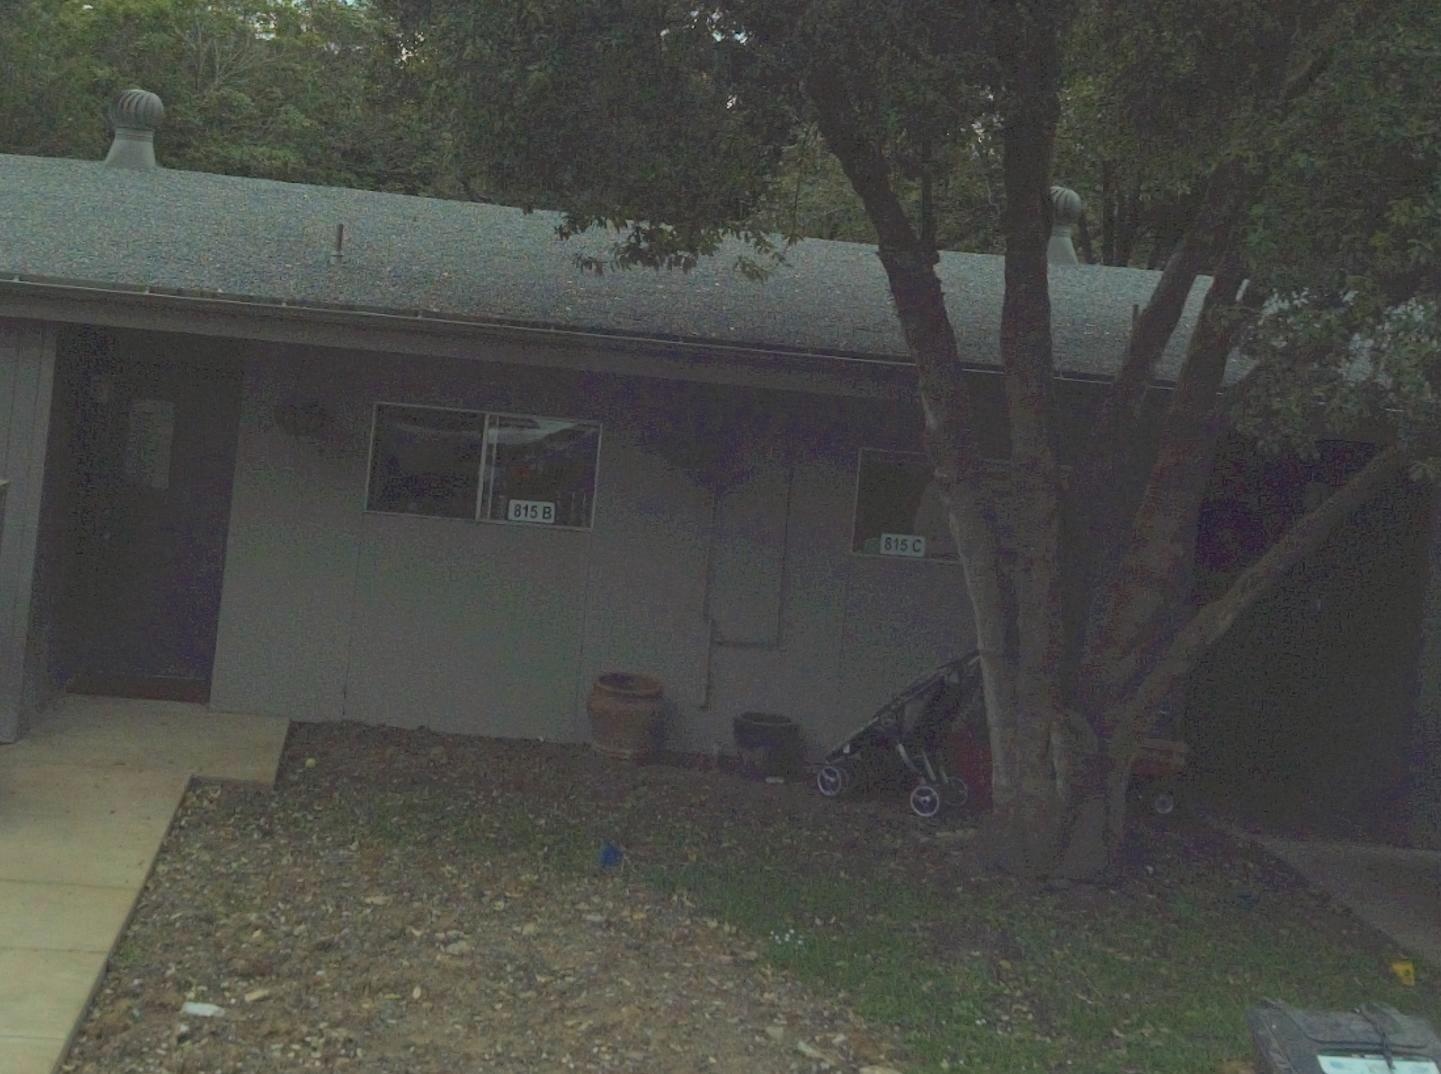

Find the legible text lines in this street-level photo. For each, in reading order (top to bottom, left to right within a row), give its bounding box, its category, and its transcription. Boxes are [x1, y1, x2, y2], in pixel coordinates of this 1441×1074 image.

[512, 502, 553, 522] StreetNumber: 815 B
[883, 536, 924, 554] StreetNumber: 815 C